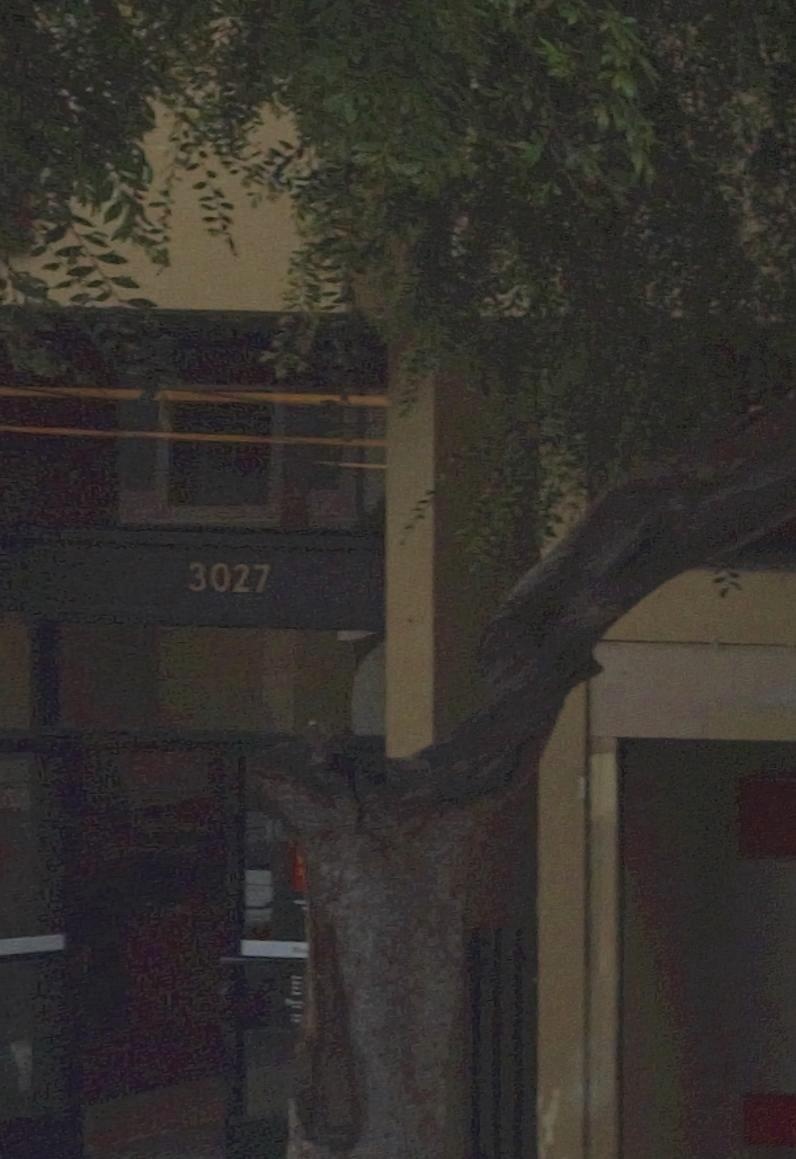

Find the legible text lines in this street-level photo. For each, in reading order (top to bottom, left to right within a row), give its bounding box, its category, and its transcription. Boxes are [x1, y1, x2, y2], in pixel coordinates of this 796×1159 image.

[187, 561, 272, 595] StreetNumber: 3027